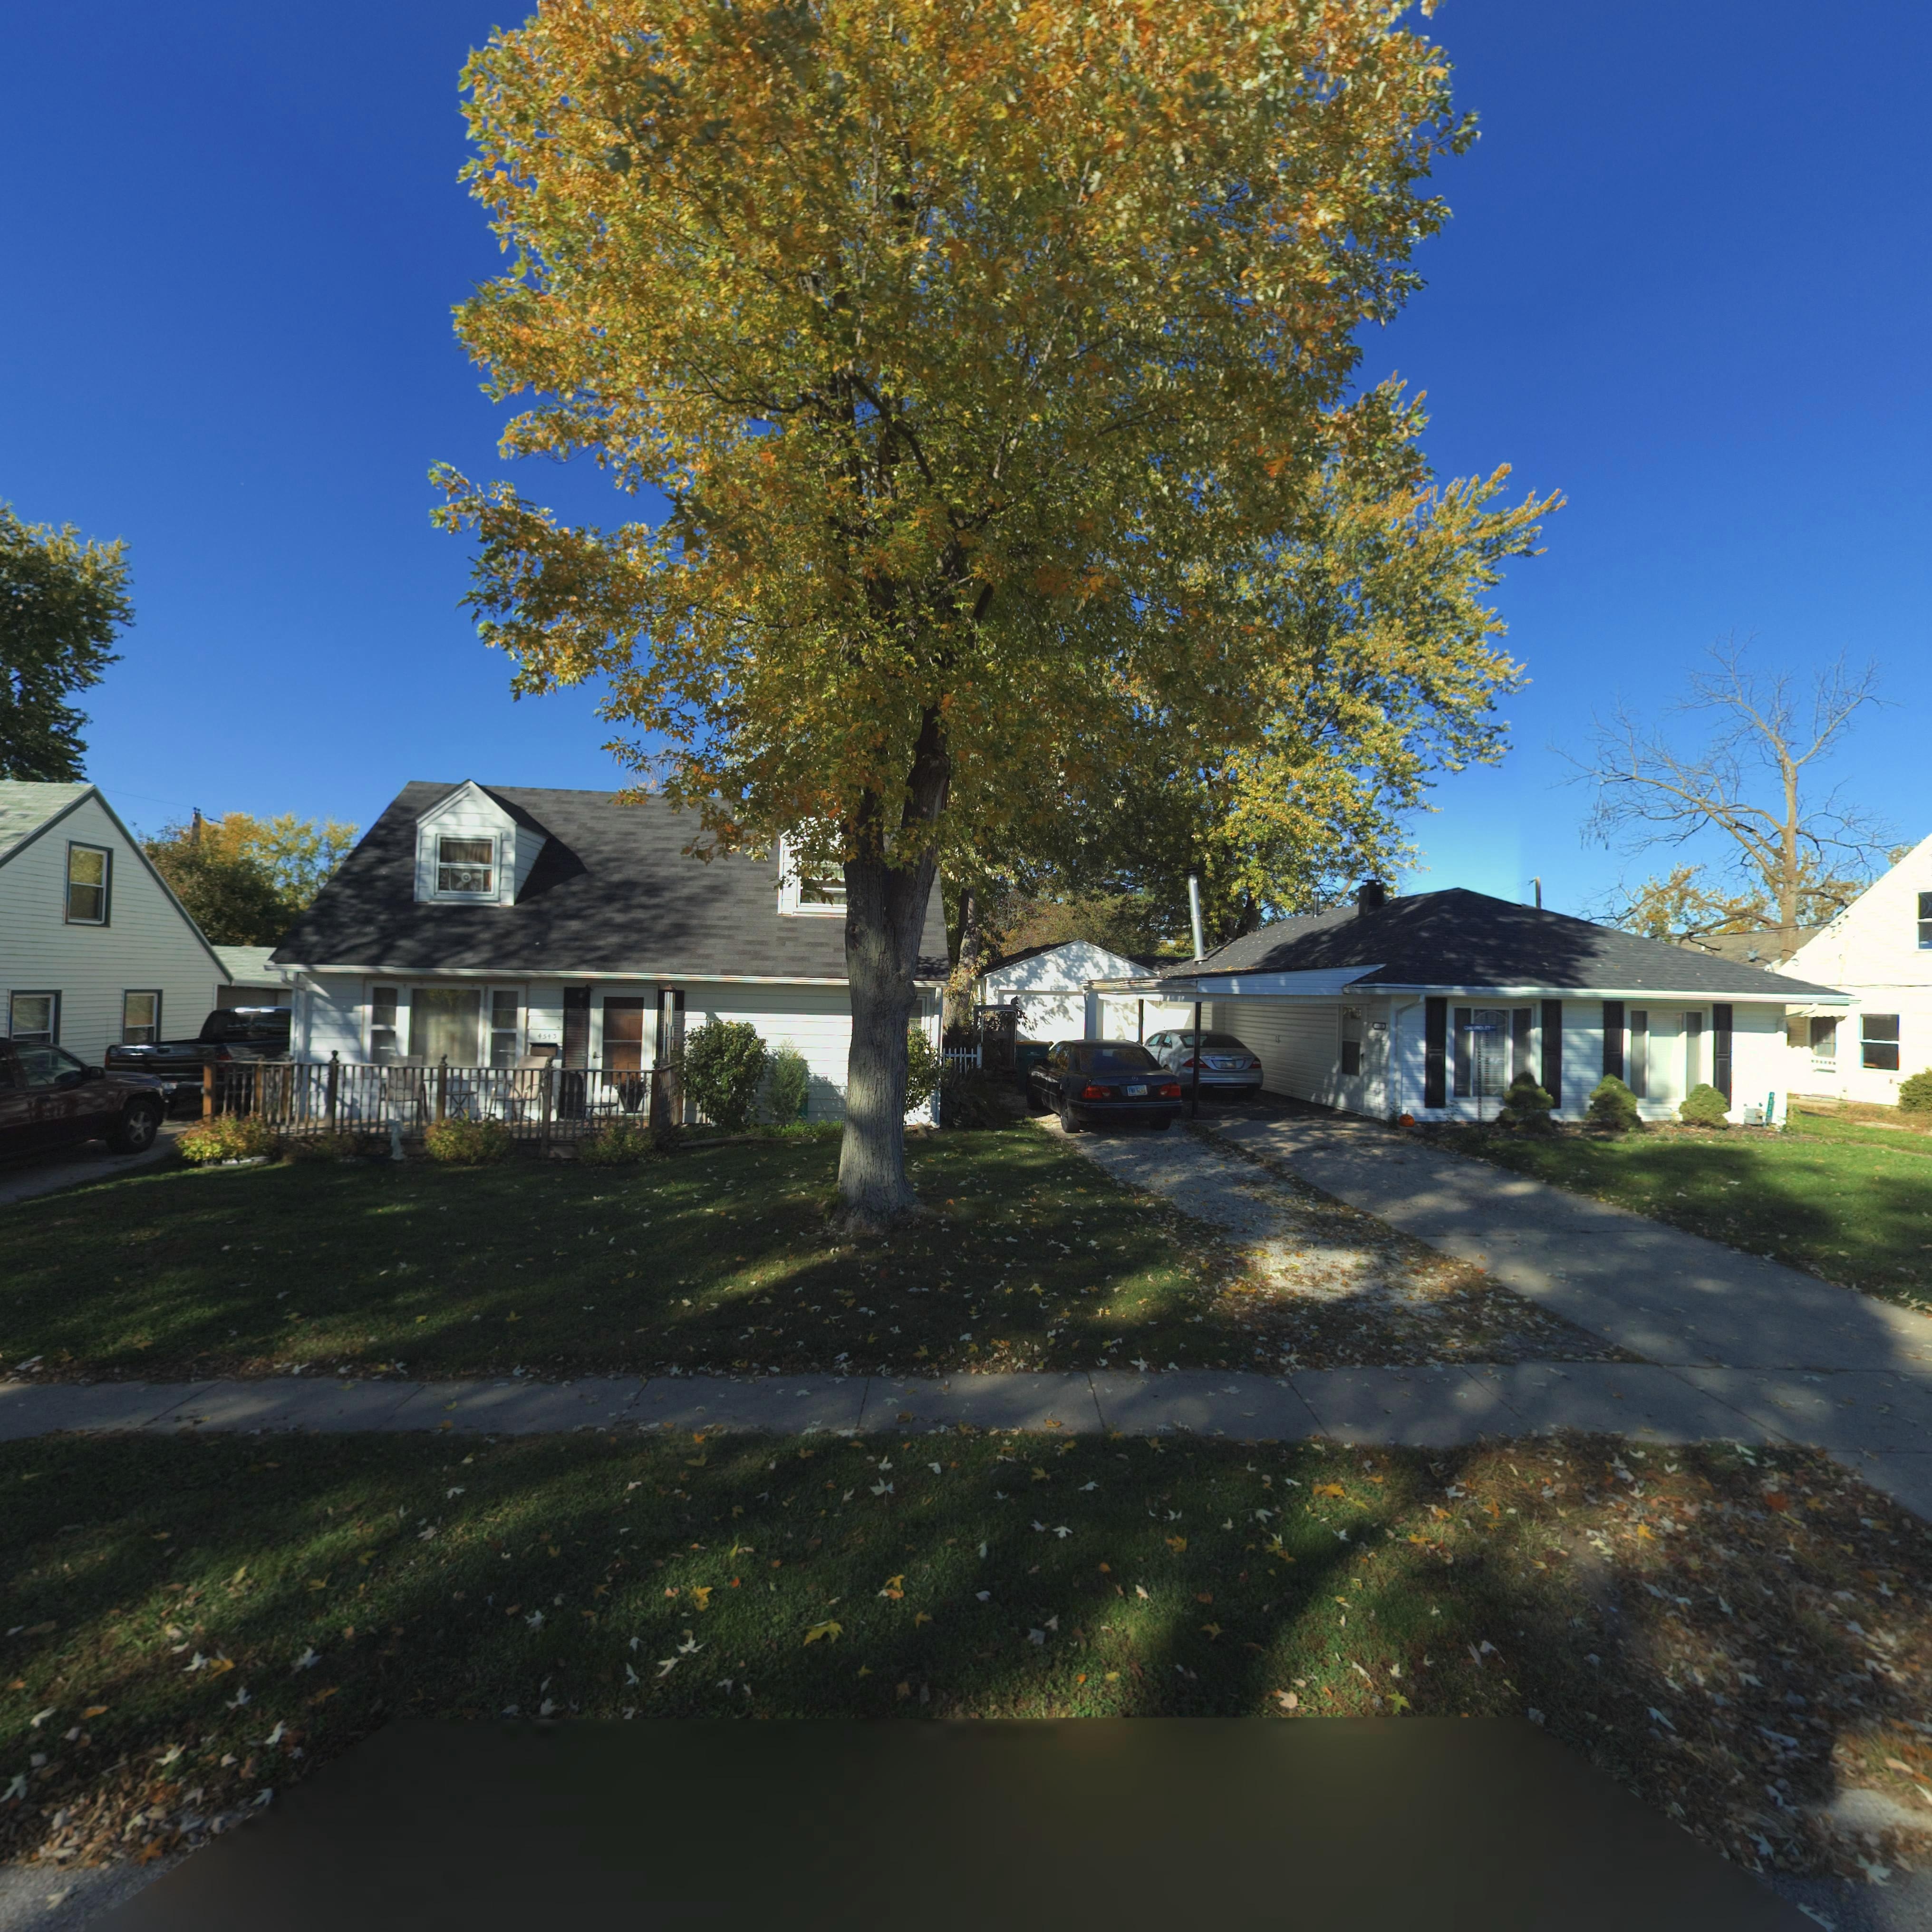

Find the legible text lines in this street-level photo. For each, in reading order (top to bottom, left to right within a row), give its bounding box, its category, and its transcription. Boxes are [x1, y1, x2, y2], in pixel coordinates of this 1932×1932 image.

[537, 1033, 557, 1039] StreetNumber: 4543
[1766, 1092, 1775, 1117] StreetNumber: 4533